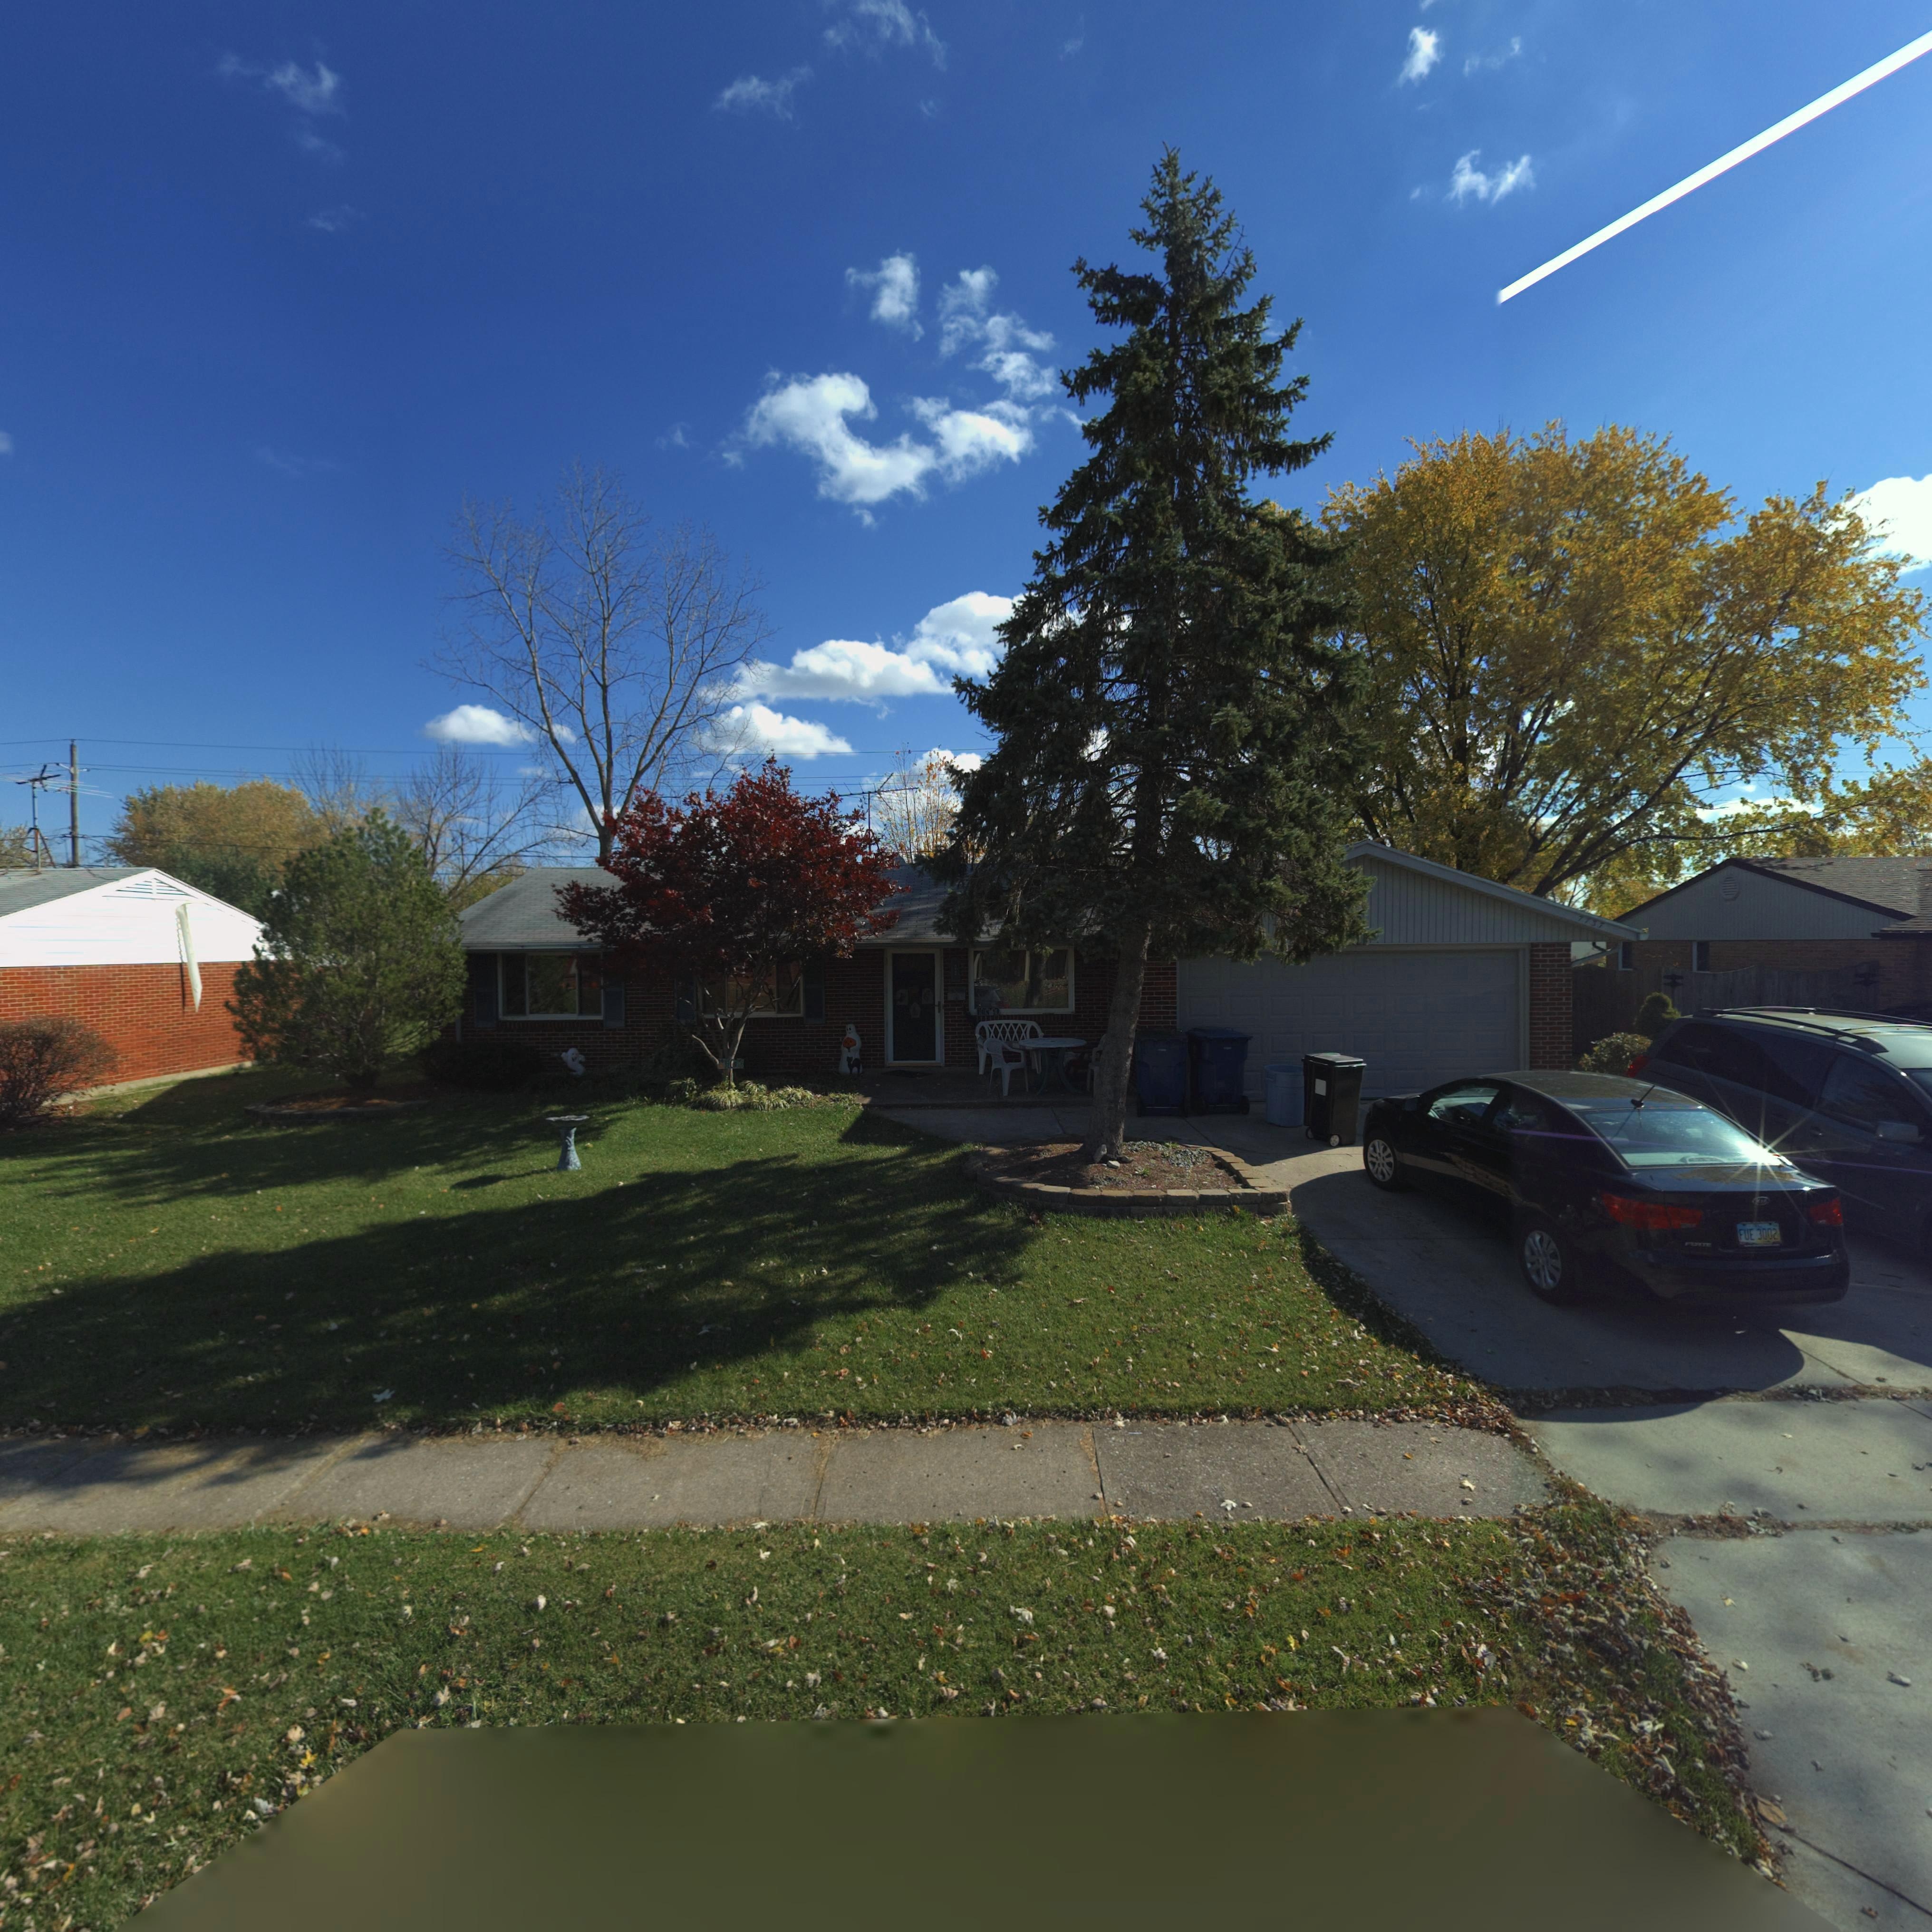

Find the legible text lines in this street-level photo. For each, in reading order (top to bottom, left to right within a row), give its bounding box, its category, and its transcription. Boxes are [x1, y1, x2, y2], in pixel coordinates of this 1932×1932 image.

[1575, 913, 1606, 930] StreetNumber: 77*7